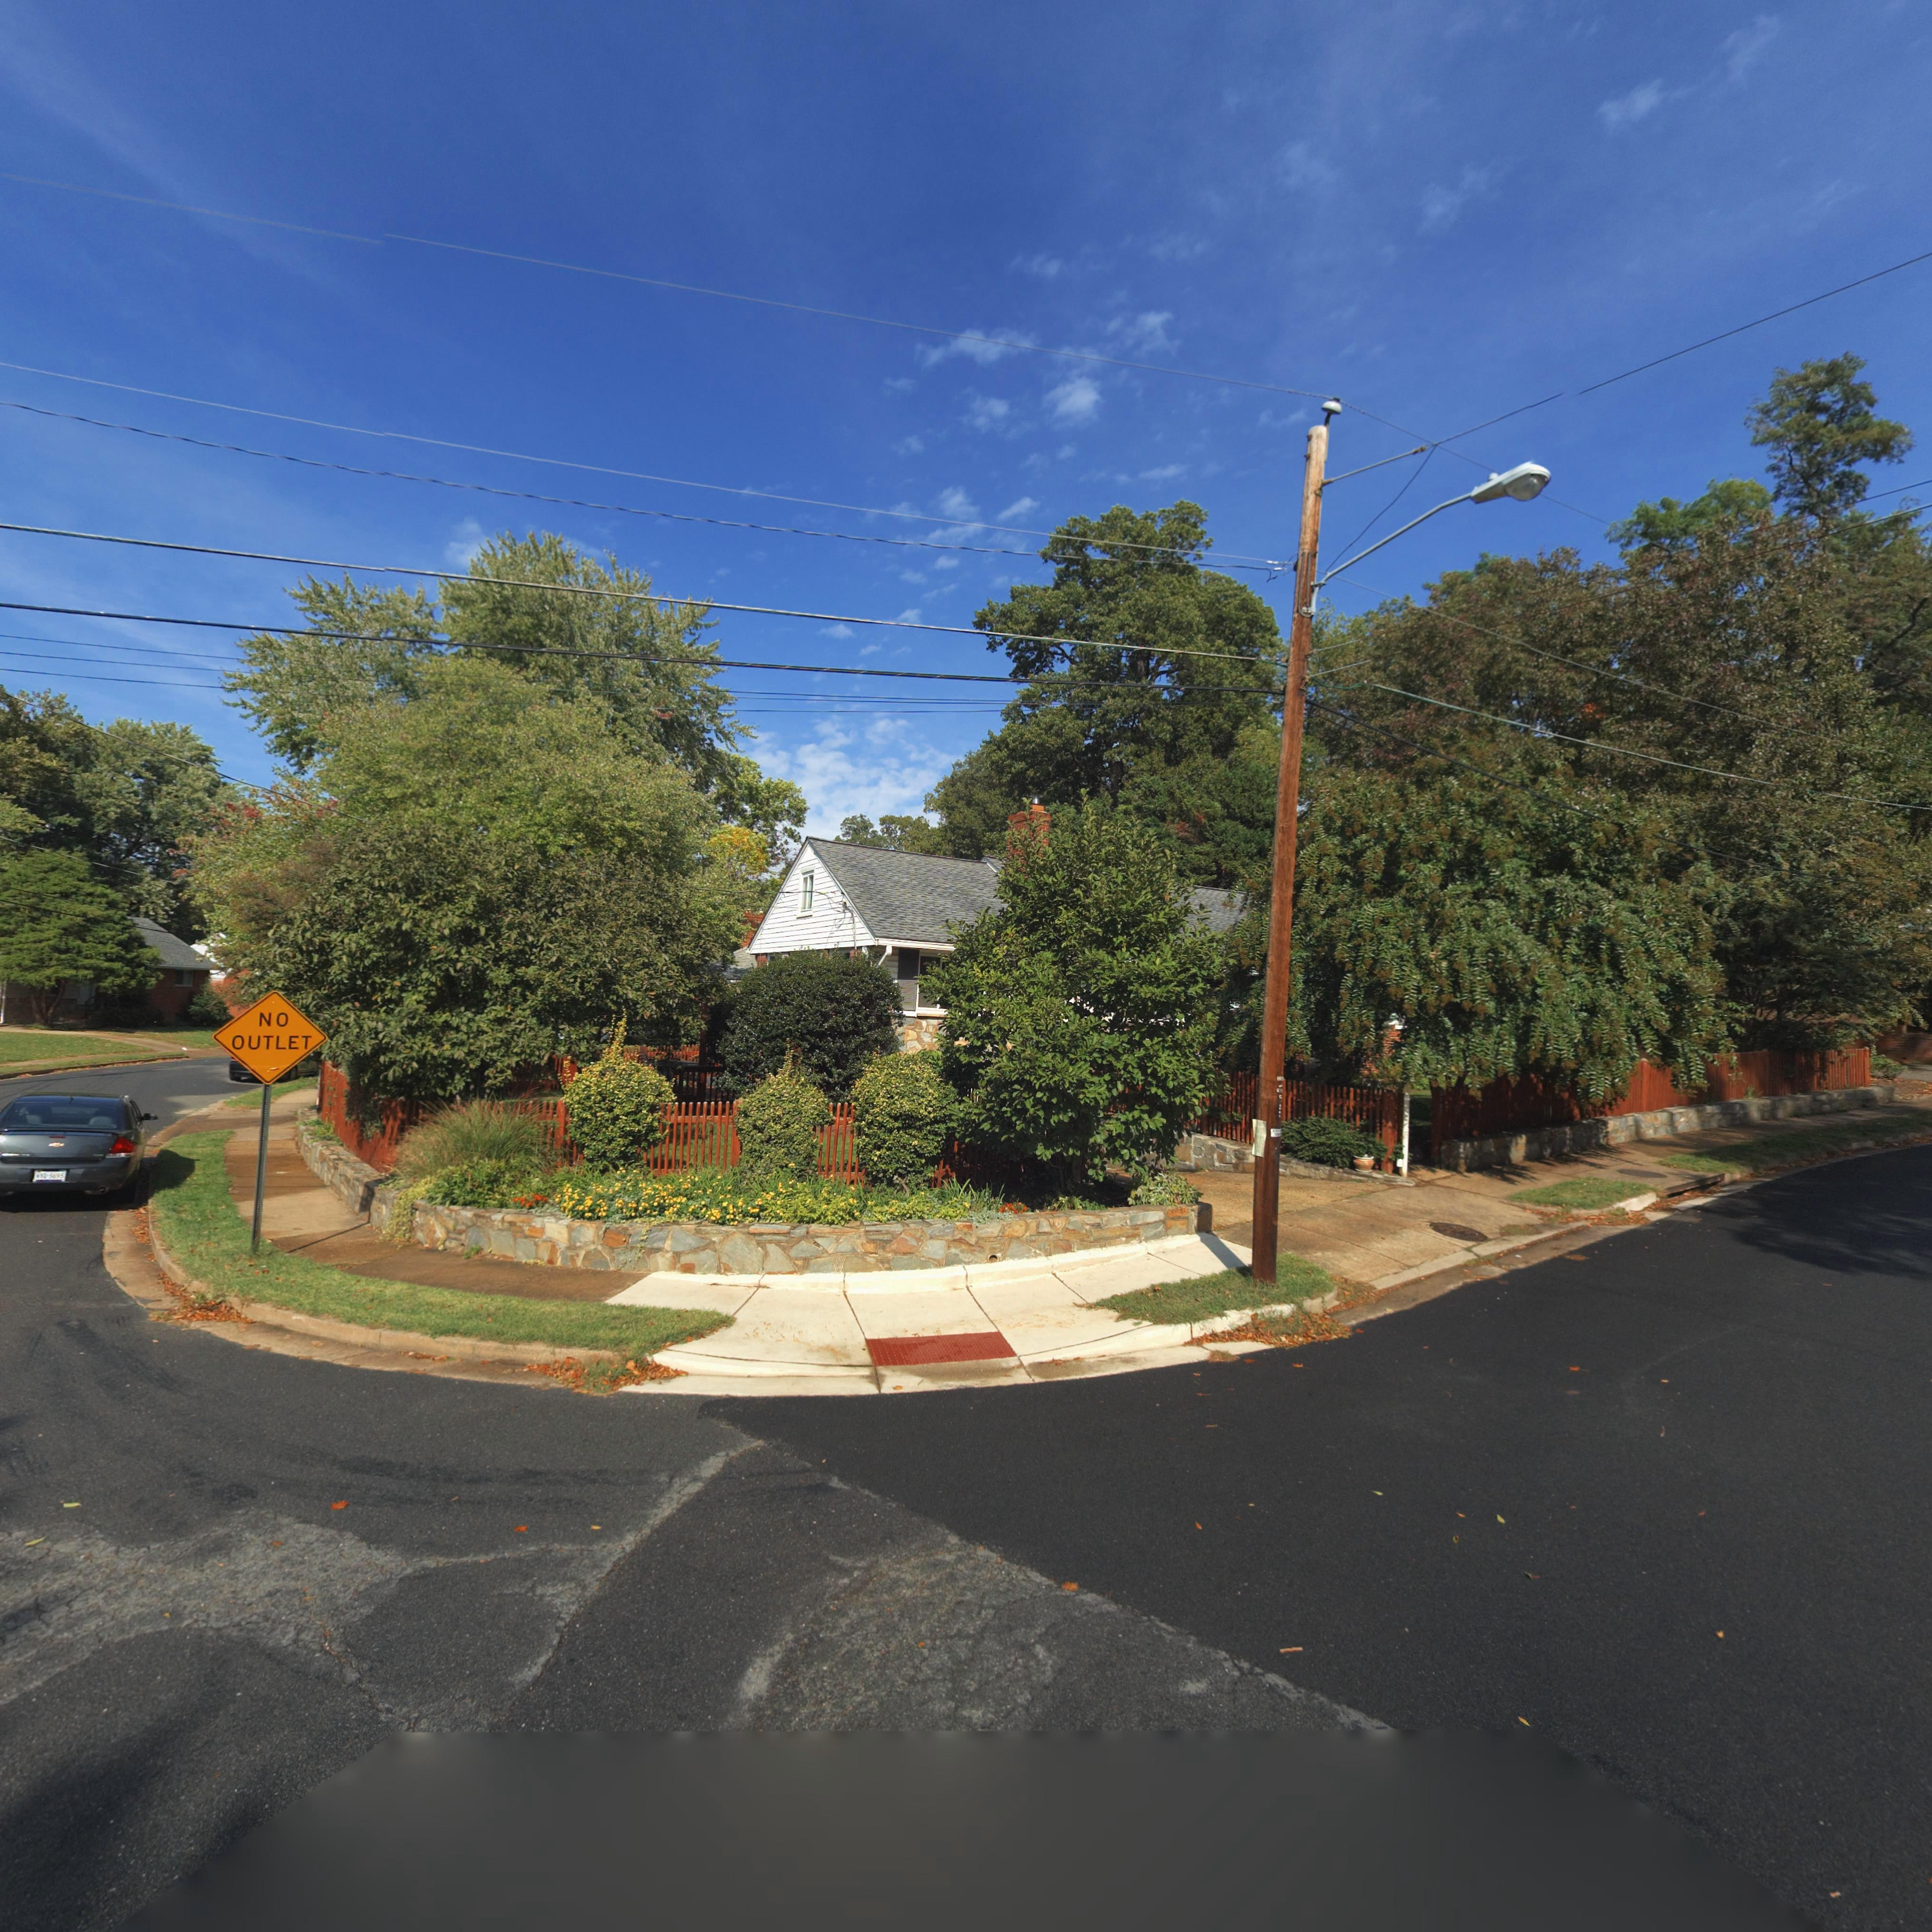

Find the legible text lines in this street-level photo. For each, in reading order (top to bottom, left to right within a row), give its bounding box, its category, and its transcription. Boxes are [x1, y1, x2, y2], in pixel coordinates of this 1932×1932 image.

[257, 1010, 290, 1028] None: NO
[230, 1034, 313, 1052] None: OUTLET